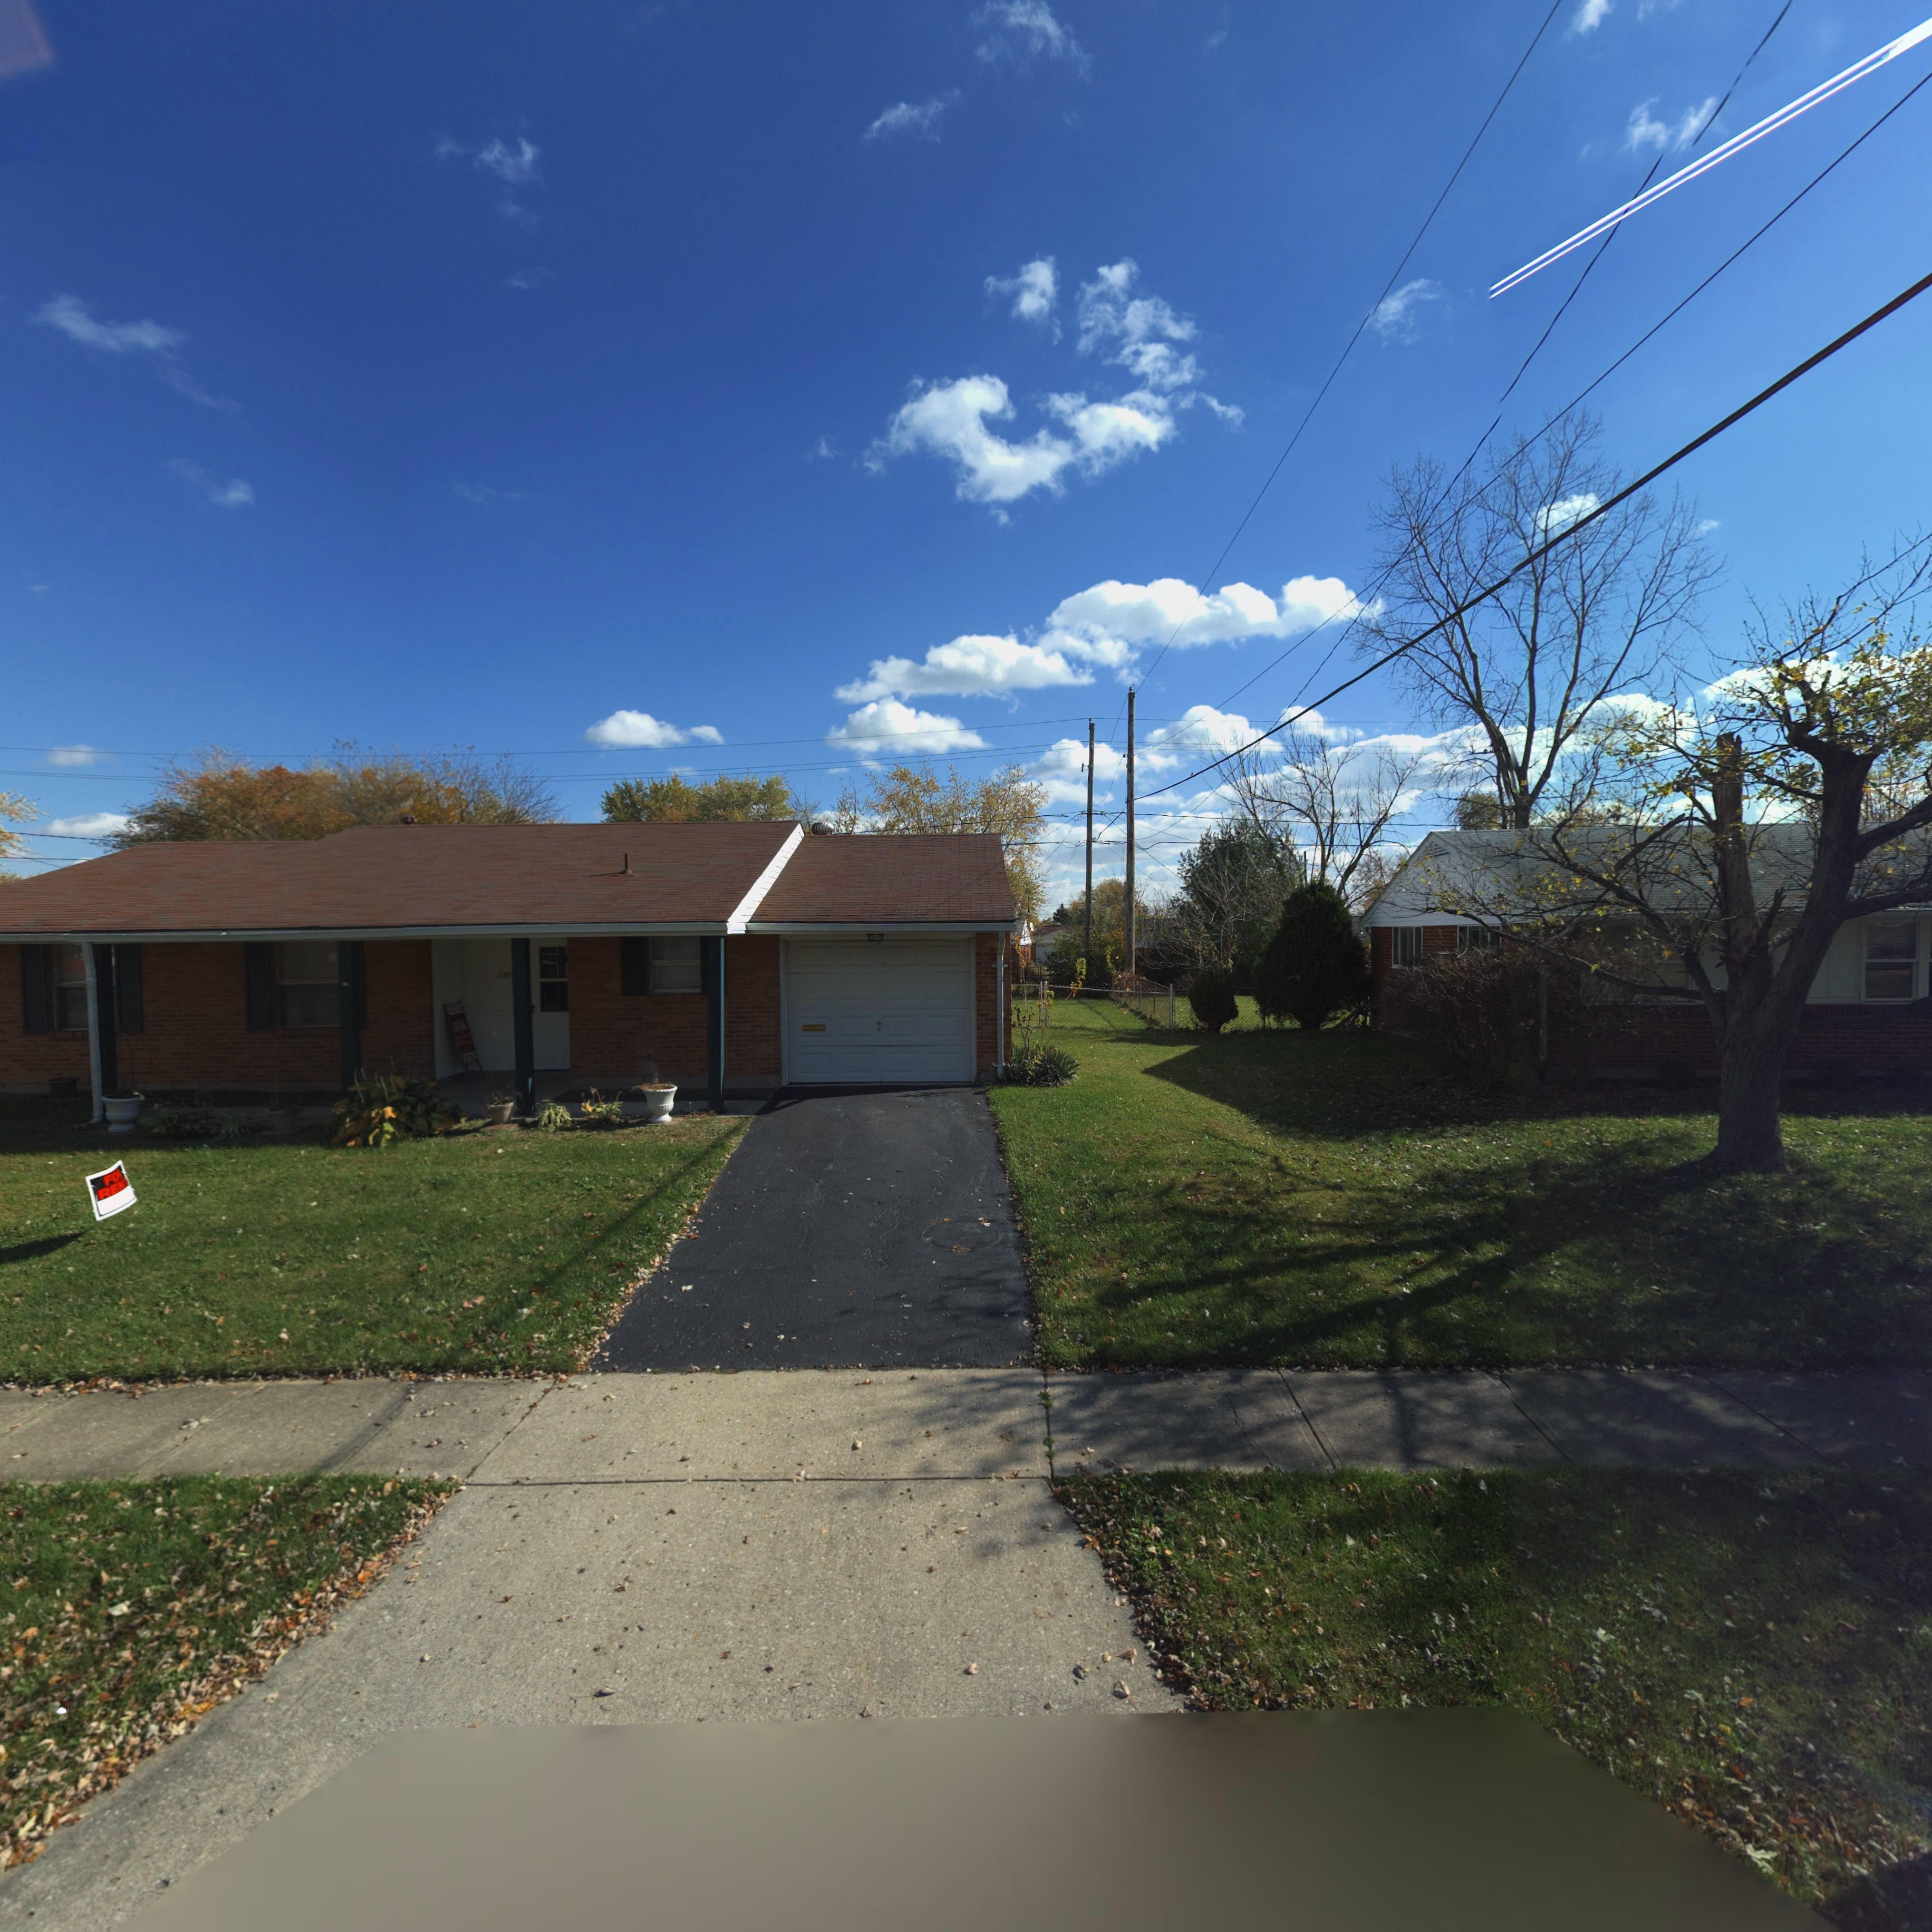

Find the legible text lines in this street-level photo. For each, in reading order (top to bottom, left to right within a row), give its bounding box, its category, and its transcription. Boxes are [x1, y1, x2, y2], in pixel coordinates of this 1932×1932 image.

[495, 971, 511, 980] StreetNumber: 776